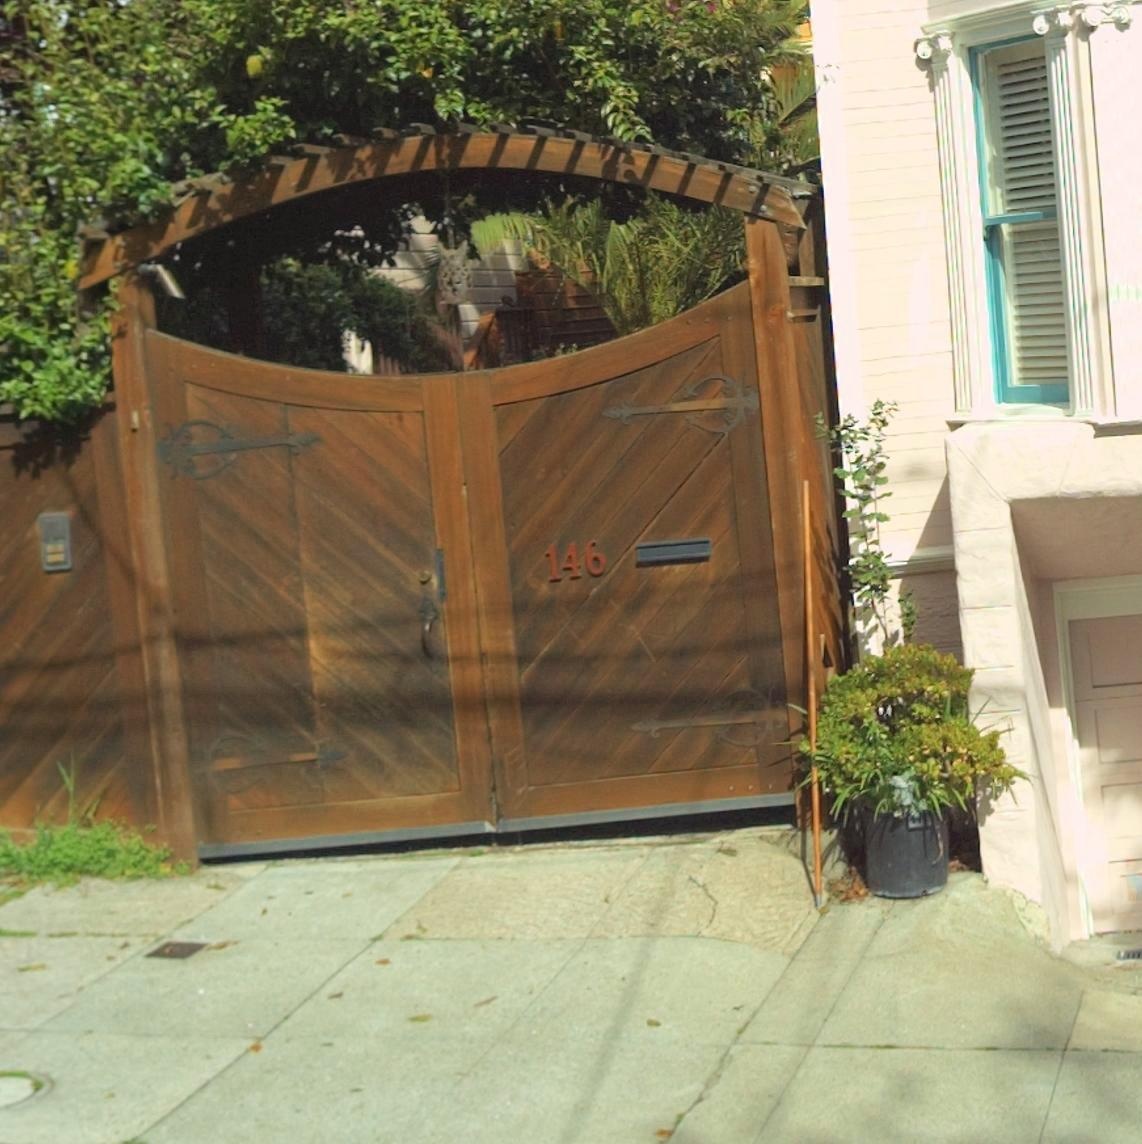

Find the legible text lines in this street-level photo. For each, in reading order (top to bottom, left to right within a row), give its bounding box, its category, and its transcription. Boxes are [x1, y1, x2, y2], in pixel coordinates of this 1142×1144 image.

[535, 537, 611, 585] StreetNumber: 146